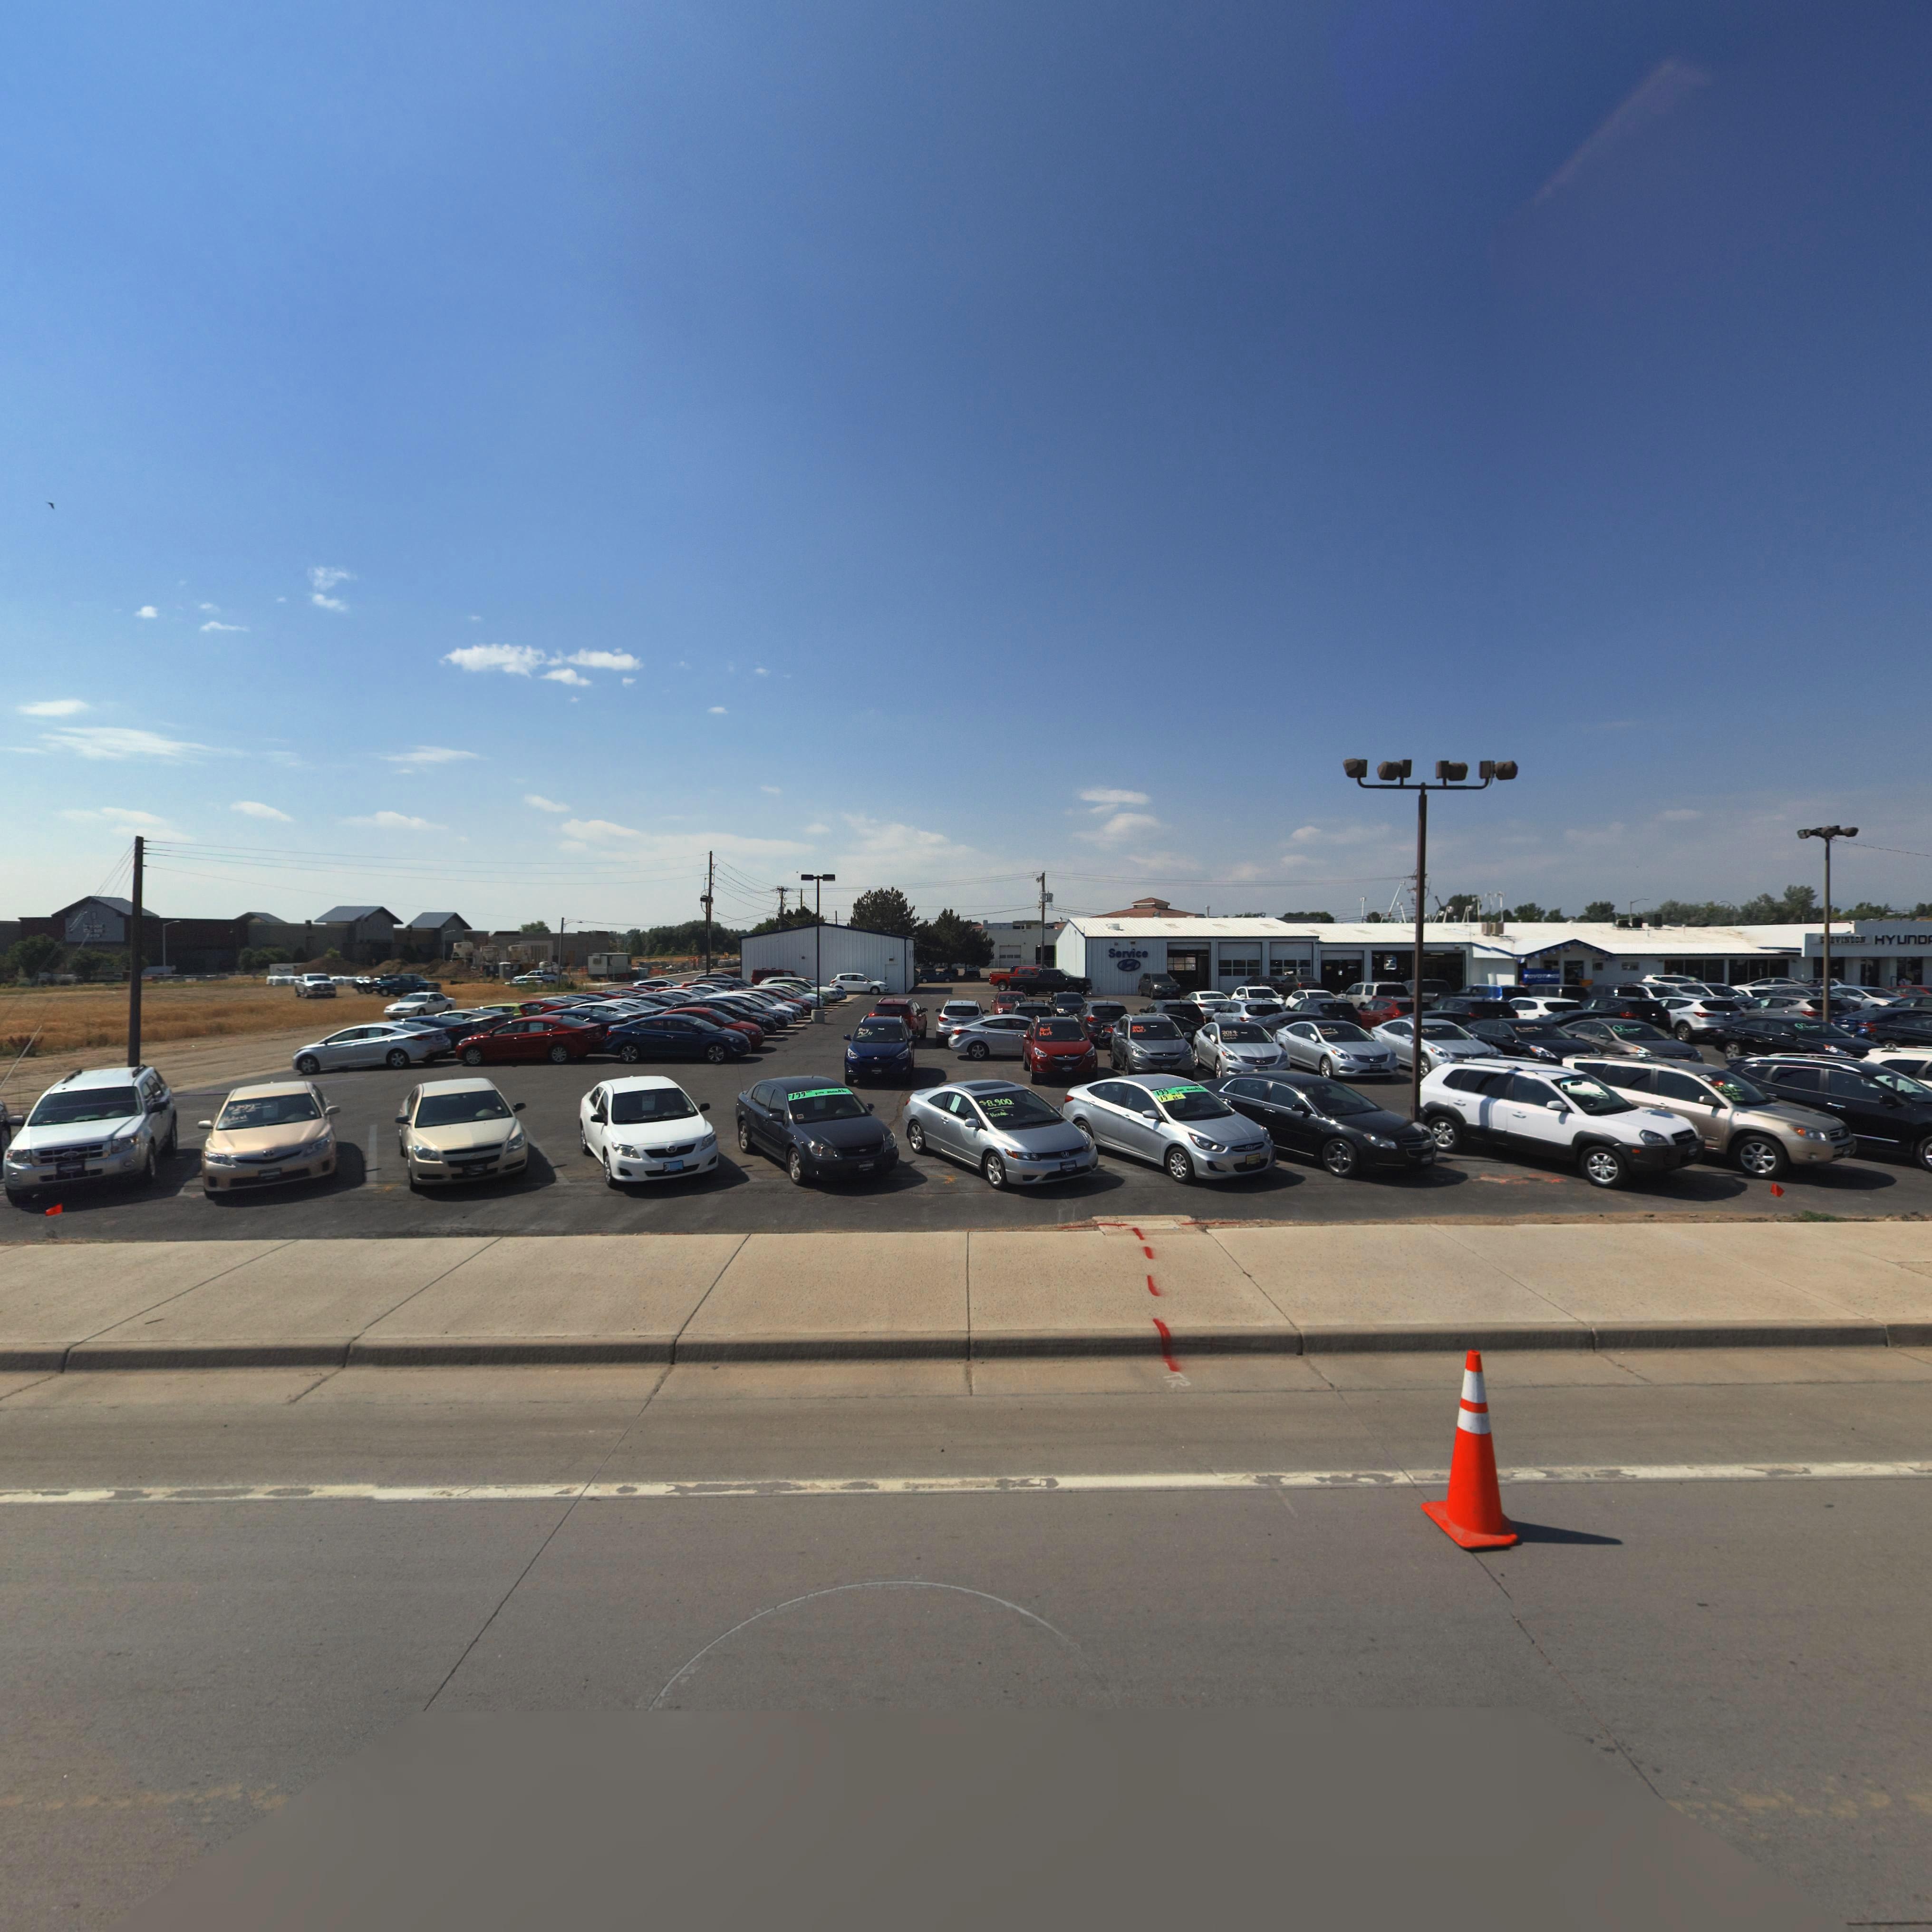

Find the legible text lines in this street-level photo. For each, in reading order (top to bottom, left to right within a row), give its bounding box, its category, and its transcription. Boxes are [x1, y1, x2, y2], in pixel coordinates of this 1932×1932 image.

[1819, 935, 1866, 944] BusinessName: S*EVINSON
[1874, 934, 1927, 945] BusinessName: HYUnD